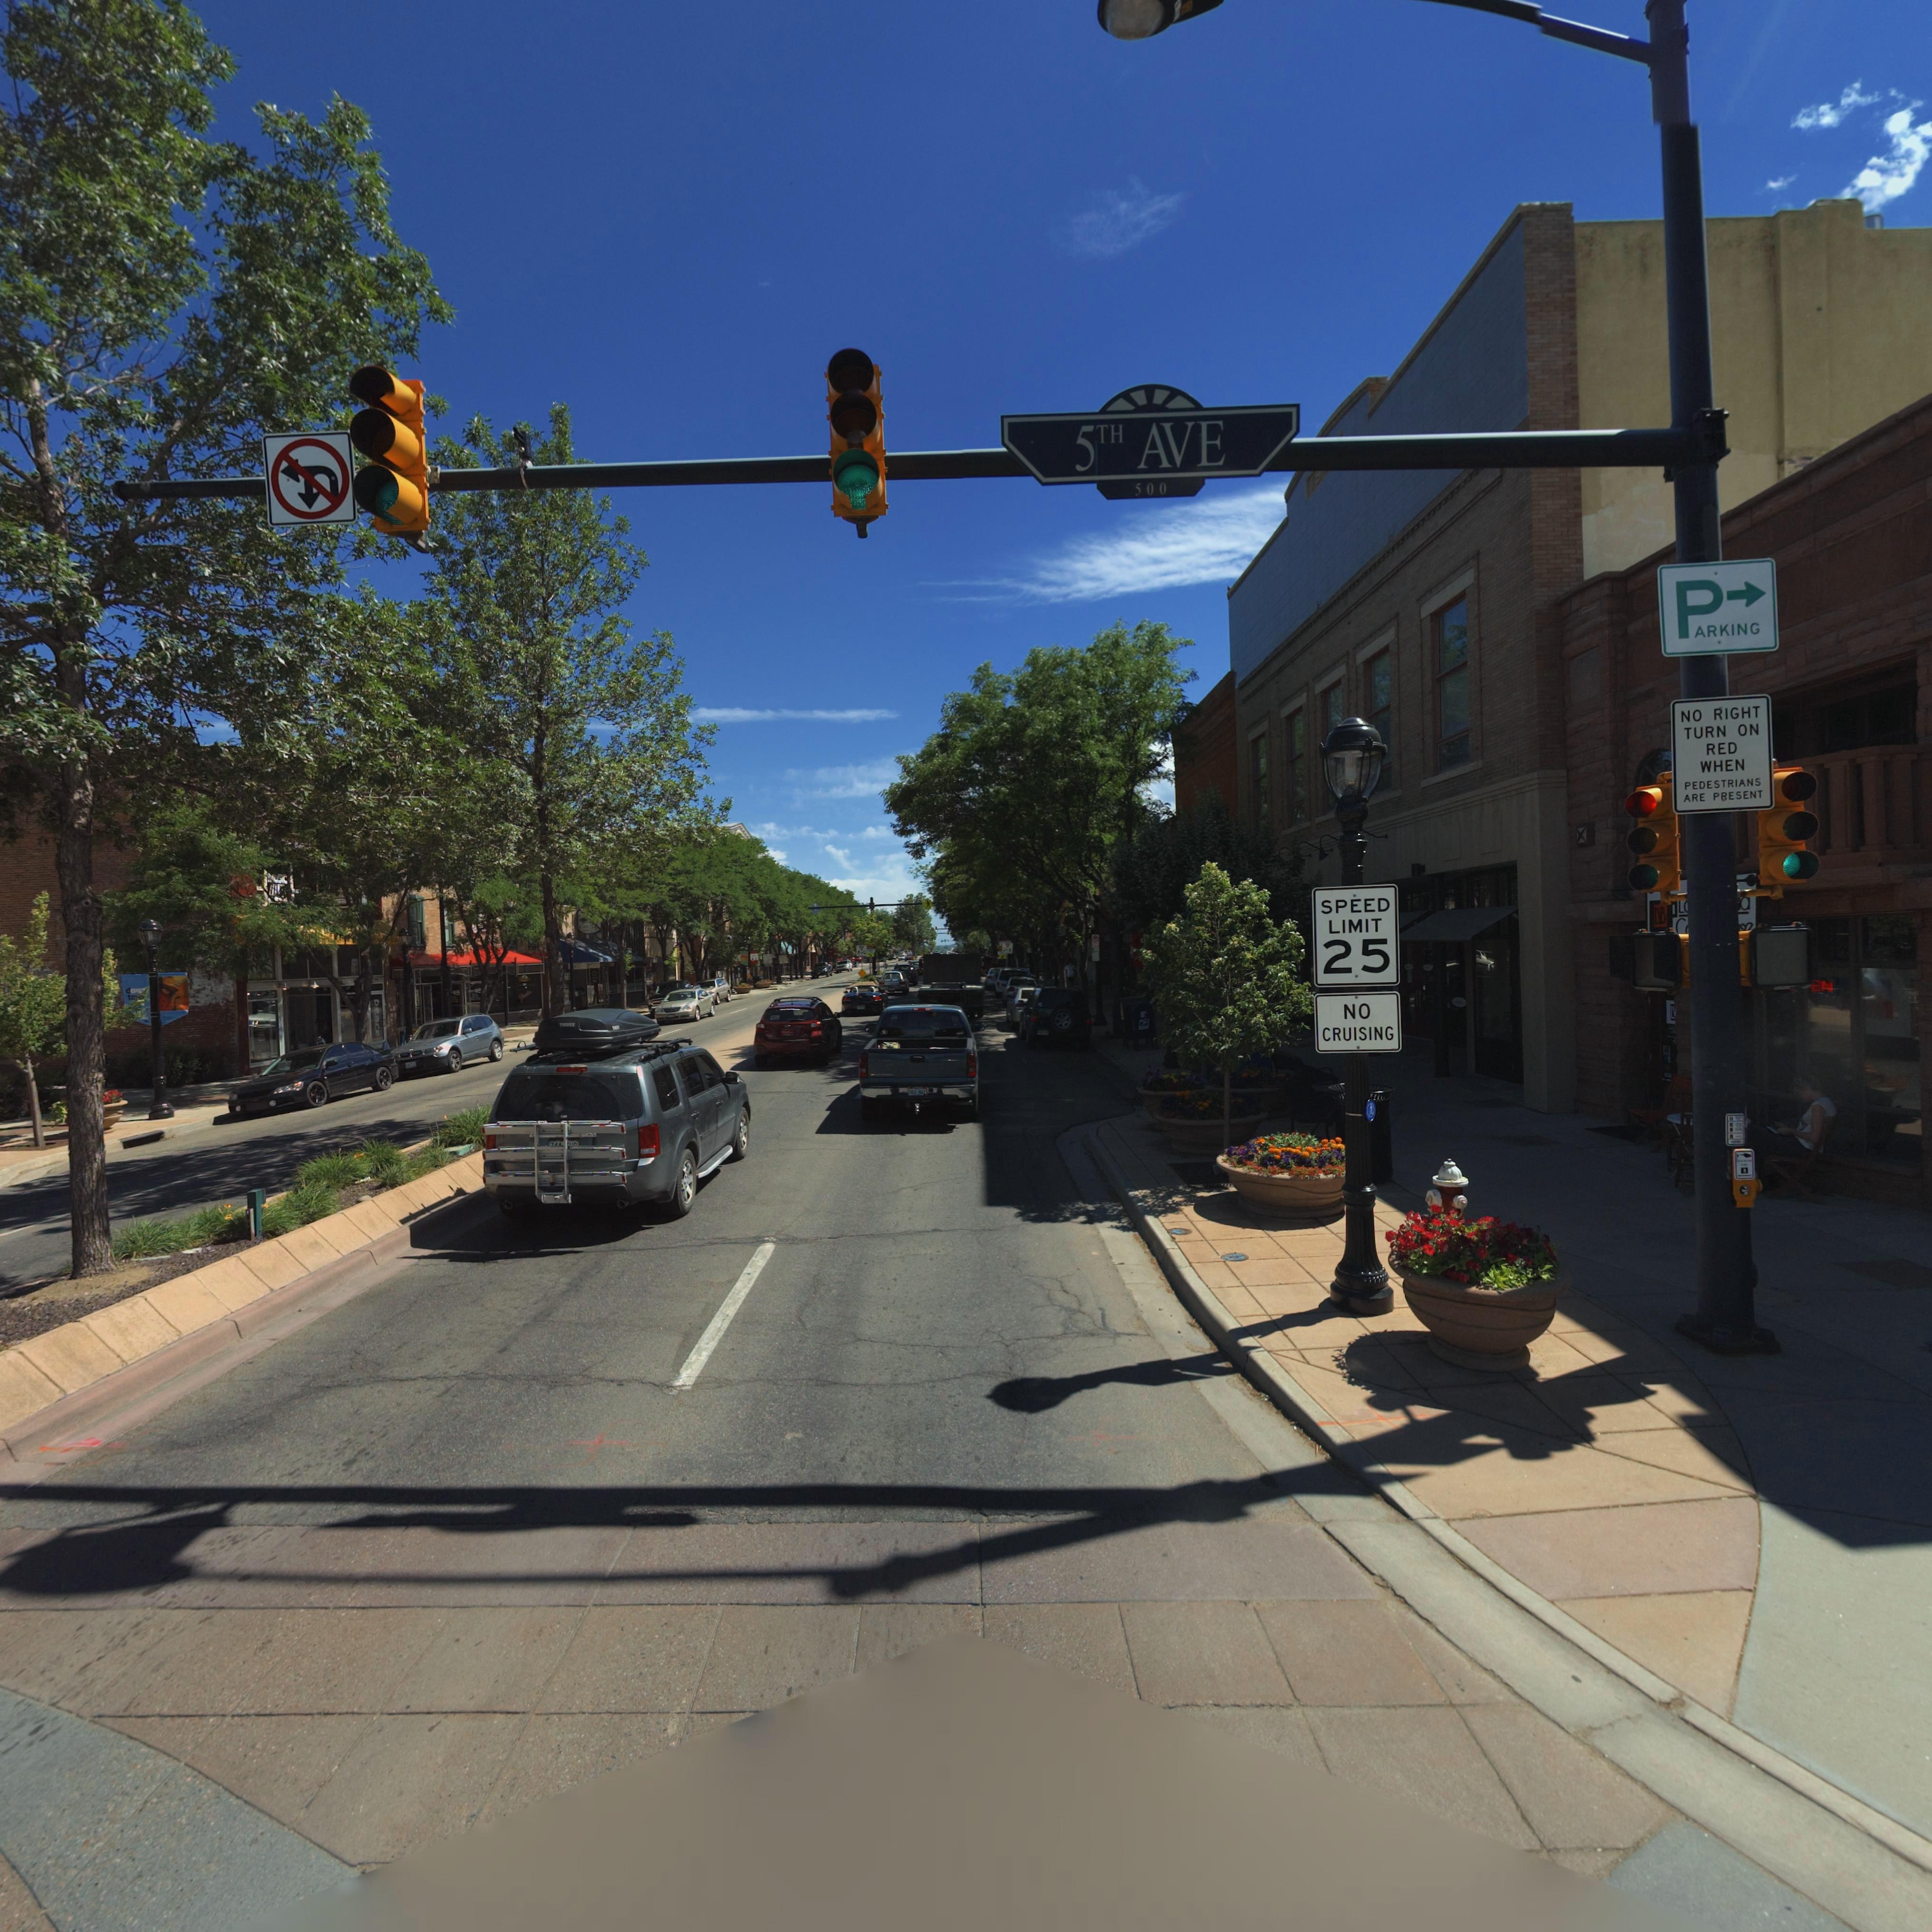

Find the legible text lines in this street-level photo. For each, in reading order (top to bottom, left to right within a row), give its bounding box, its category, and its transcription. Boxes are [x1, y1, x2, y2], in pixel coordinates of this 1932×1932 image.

[1075, 420, 1226, 473] StreetName: 5TH AVE
[1134, 482, 1166, 496] StreetNumberRange: 500
[1678, 900, 1688, 913] BusinessName: L*